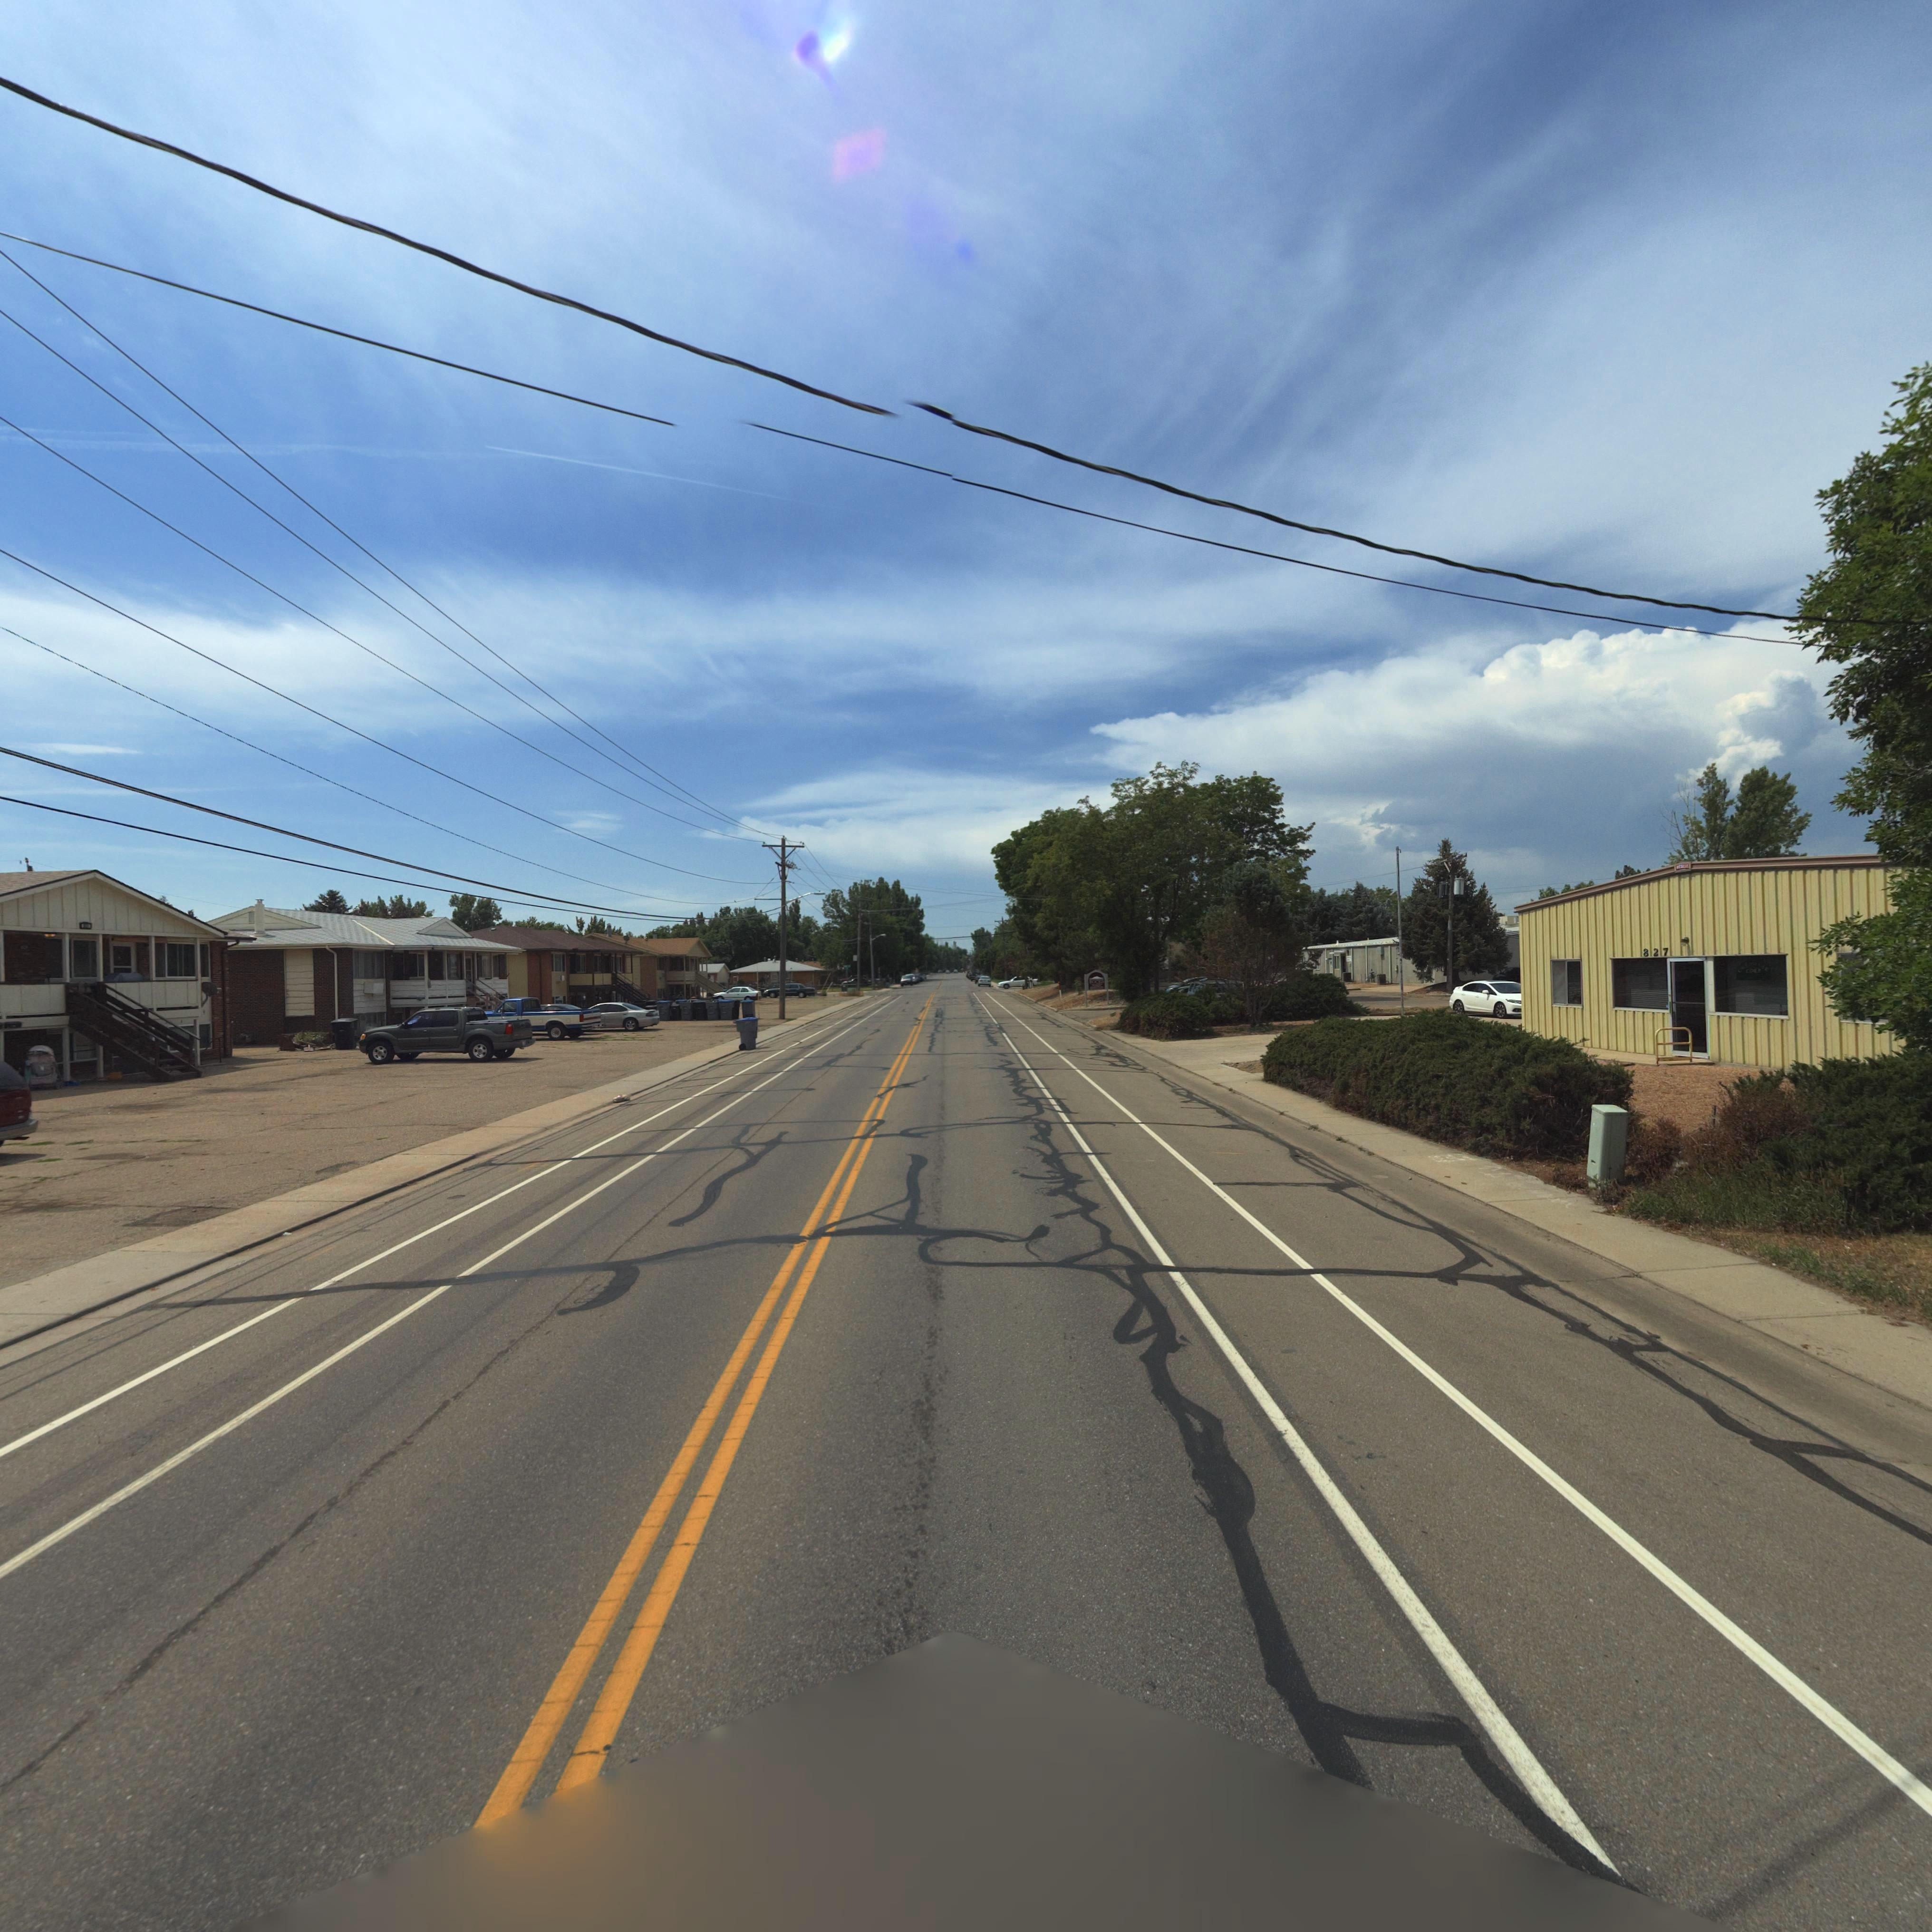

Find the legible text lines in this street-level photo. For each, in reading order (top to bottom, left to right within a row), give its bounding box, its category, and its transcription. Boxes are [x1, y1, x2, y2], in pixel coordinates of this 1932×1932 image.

[1642, 947, 1668, 956] StreetNumber: 827